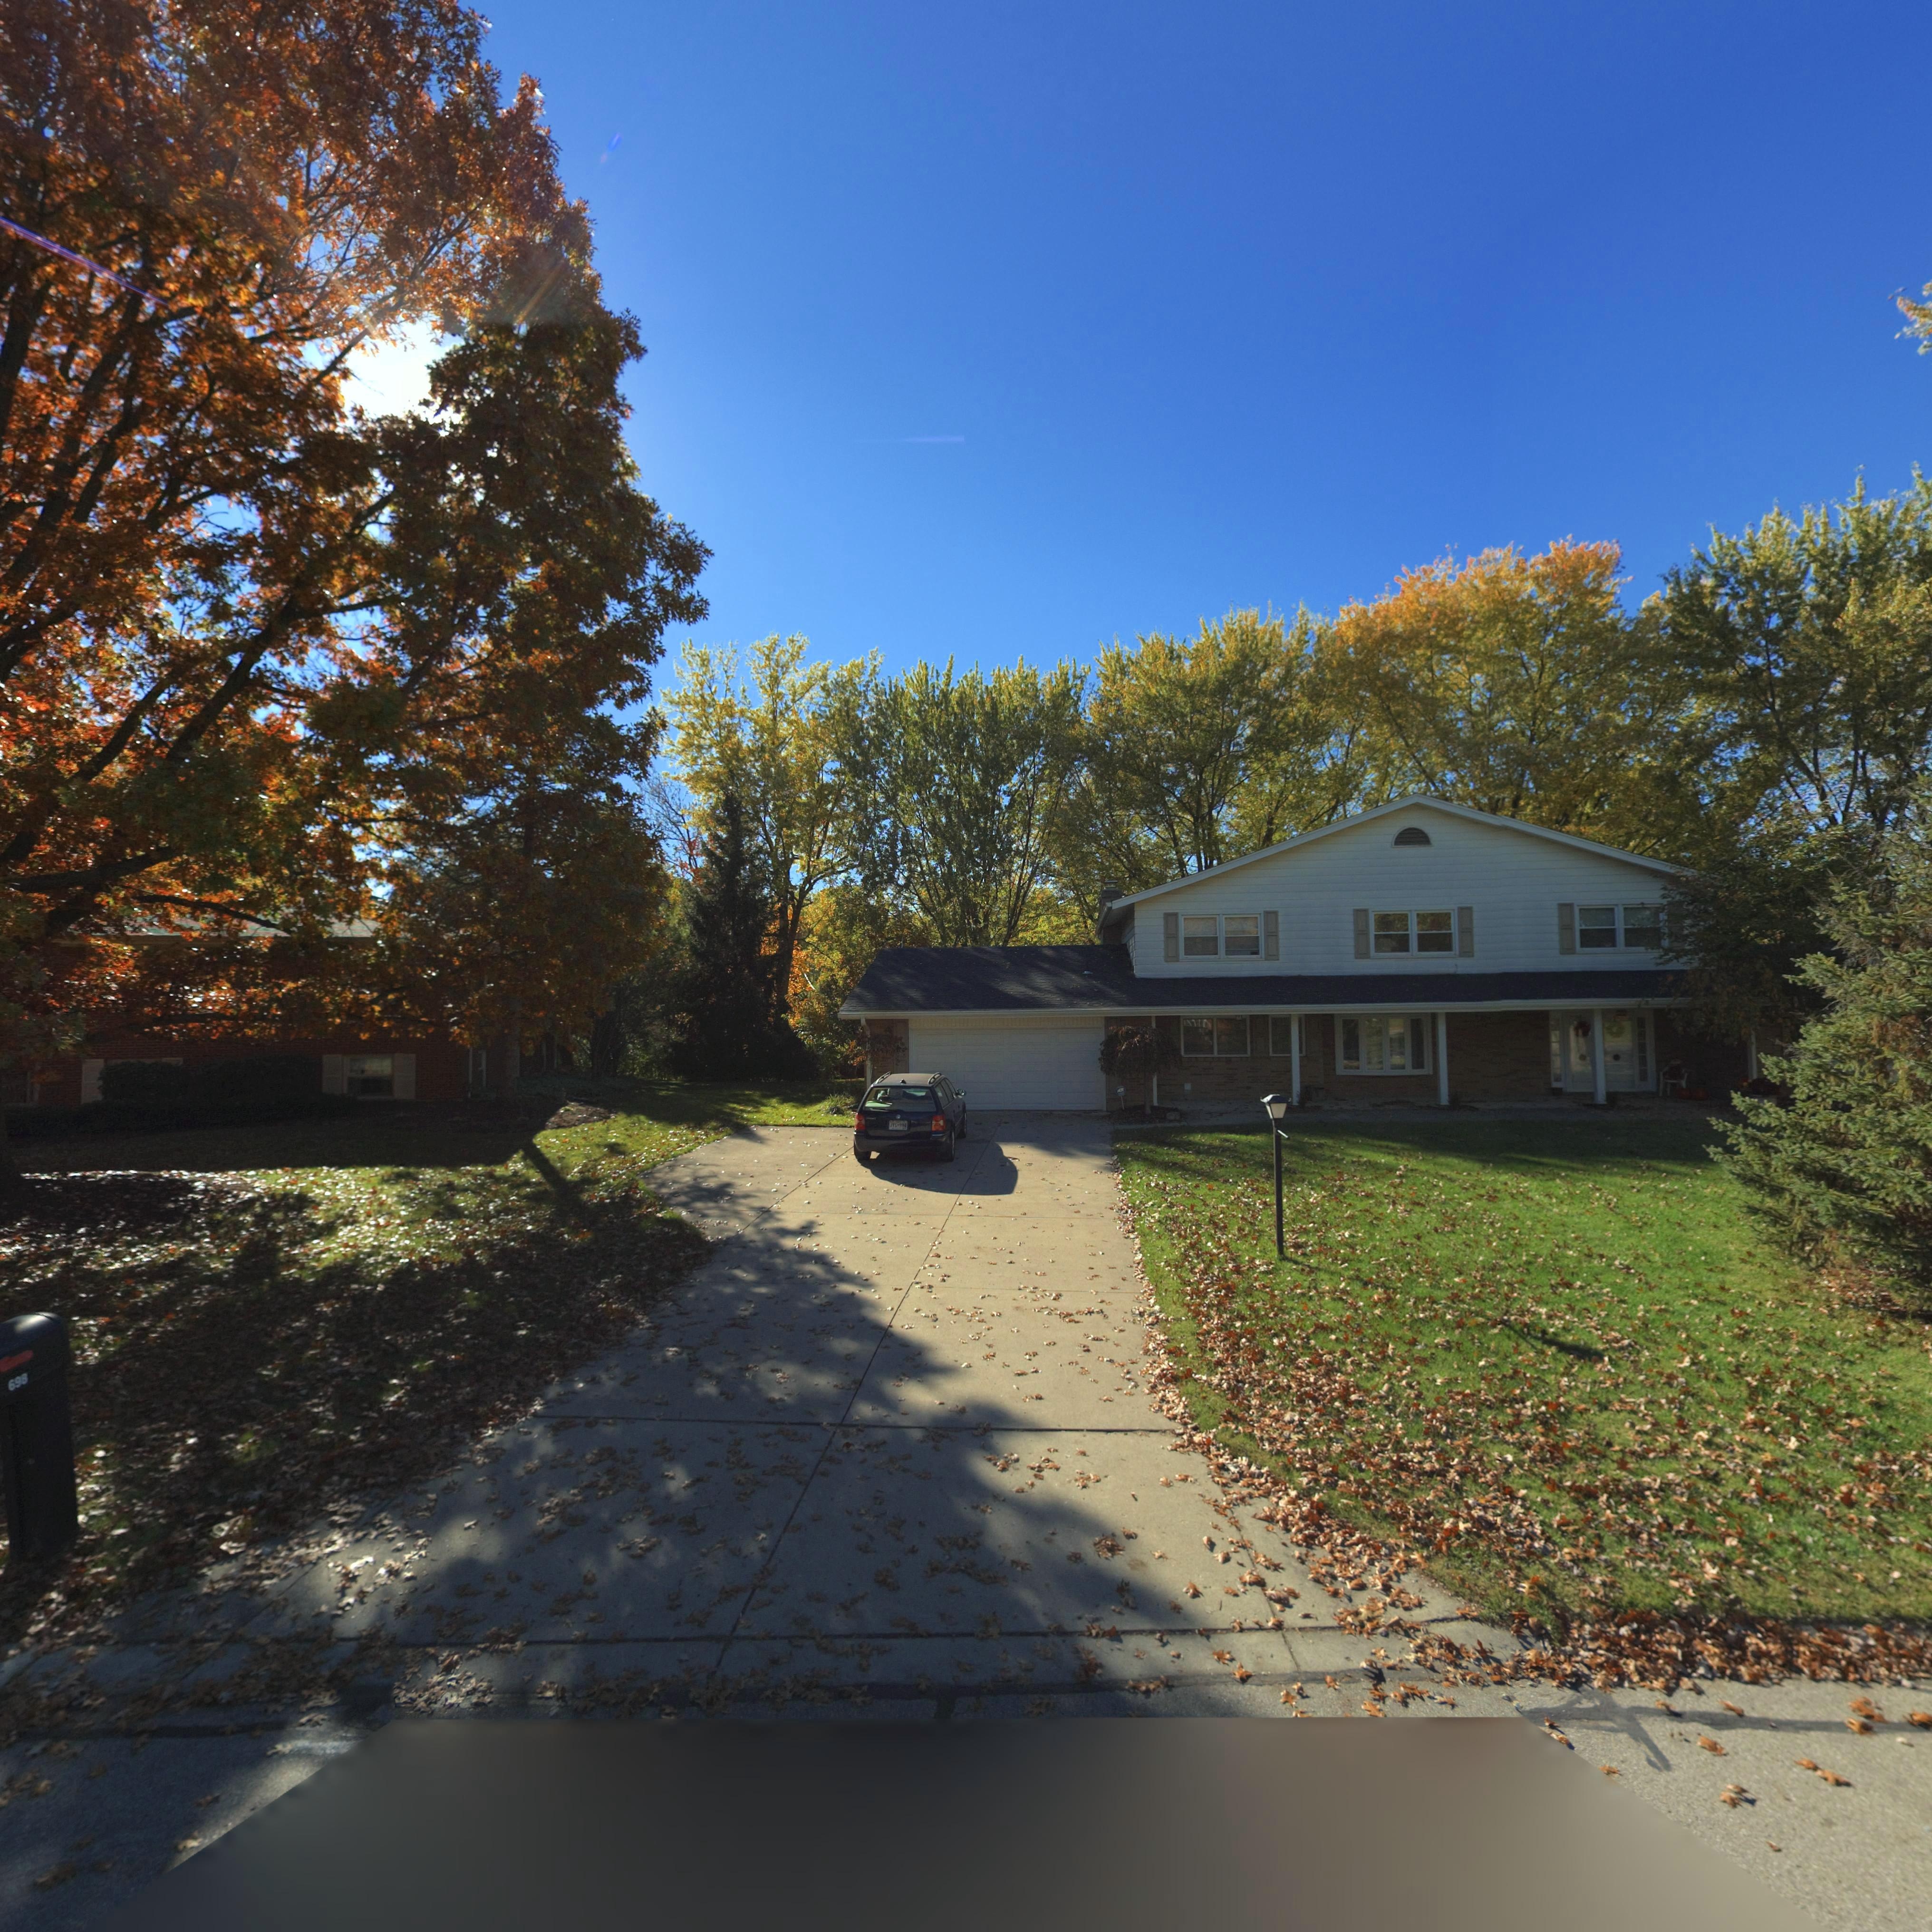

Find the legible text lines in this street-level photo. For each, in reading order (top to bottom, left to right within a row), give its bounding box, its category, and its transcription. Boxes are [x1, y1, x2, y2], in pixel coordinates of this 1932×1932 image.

[6, 1370, 30, 1393] StreetNumber: 698